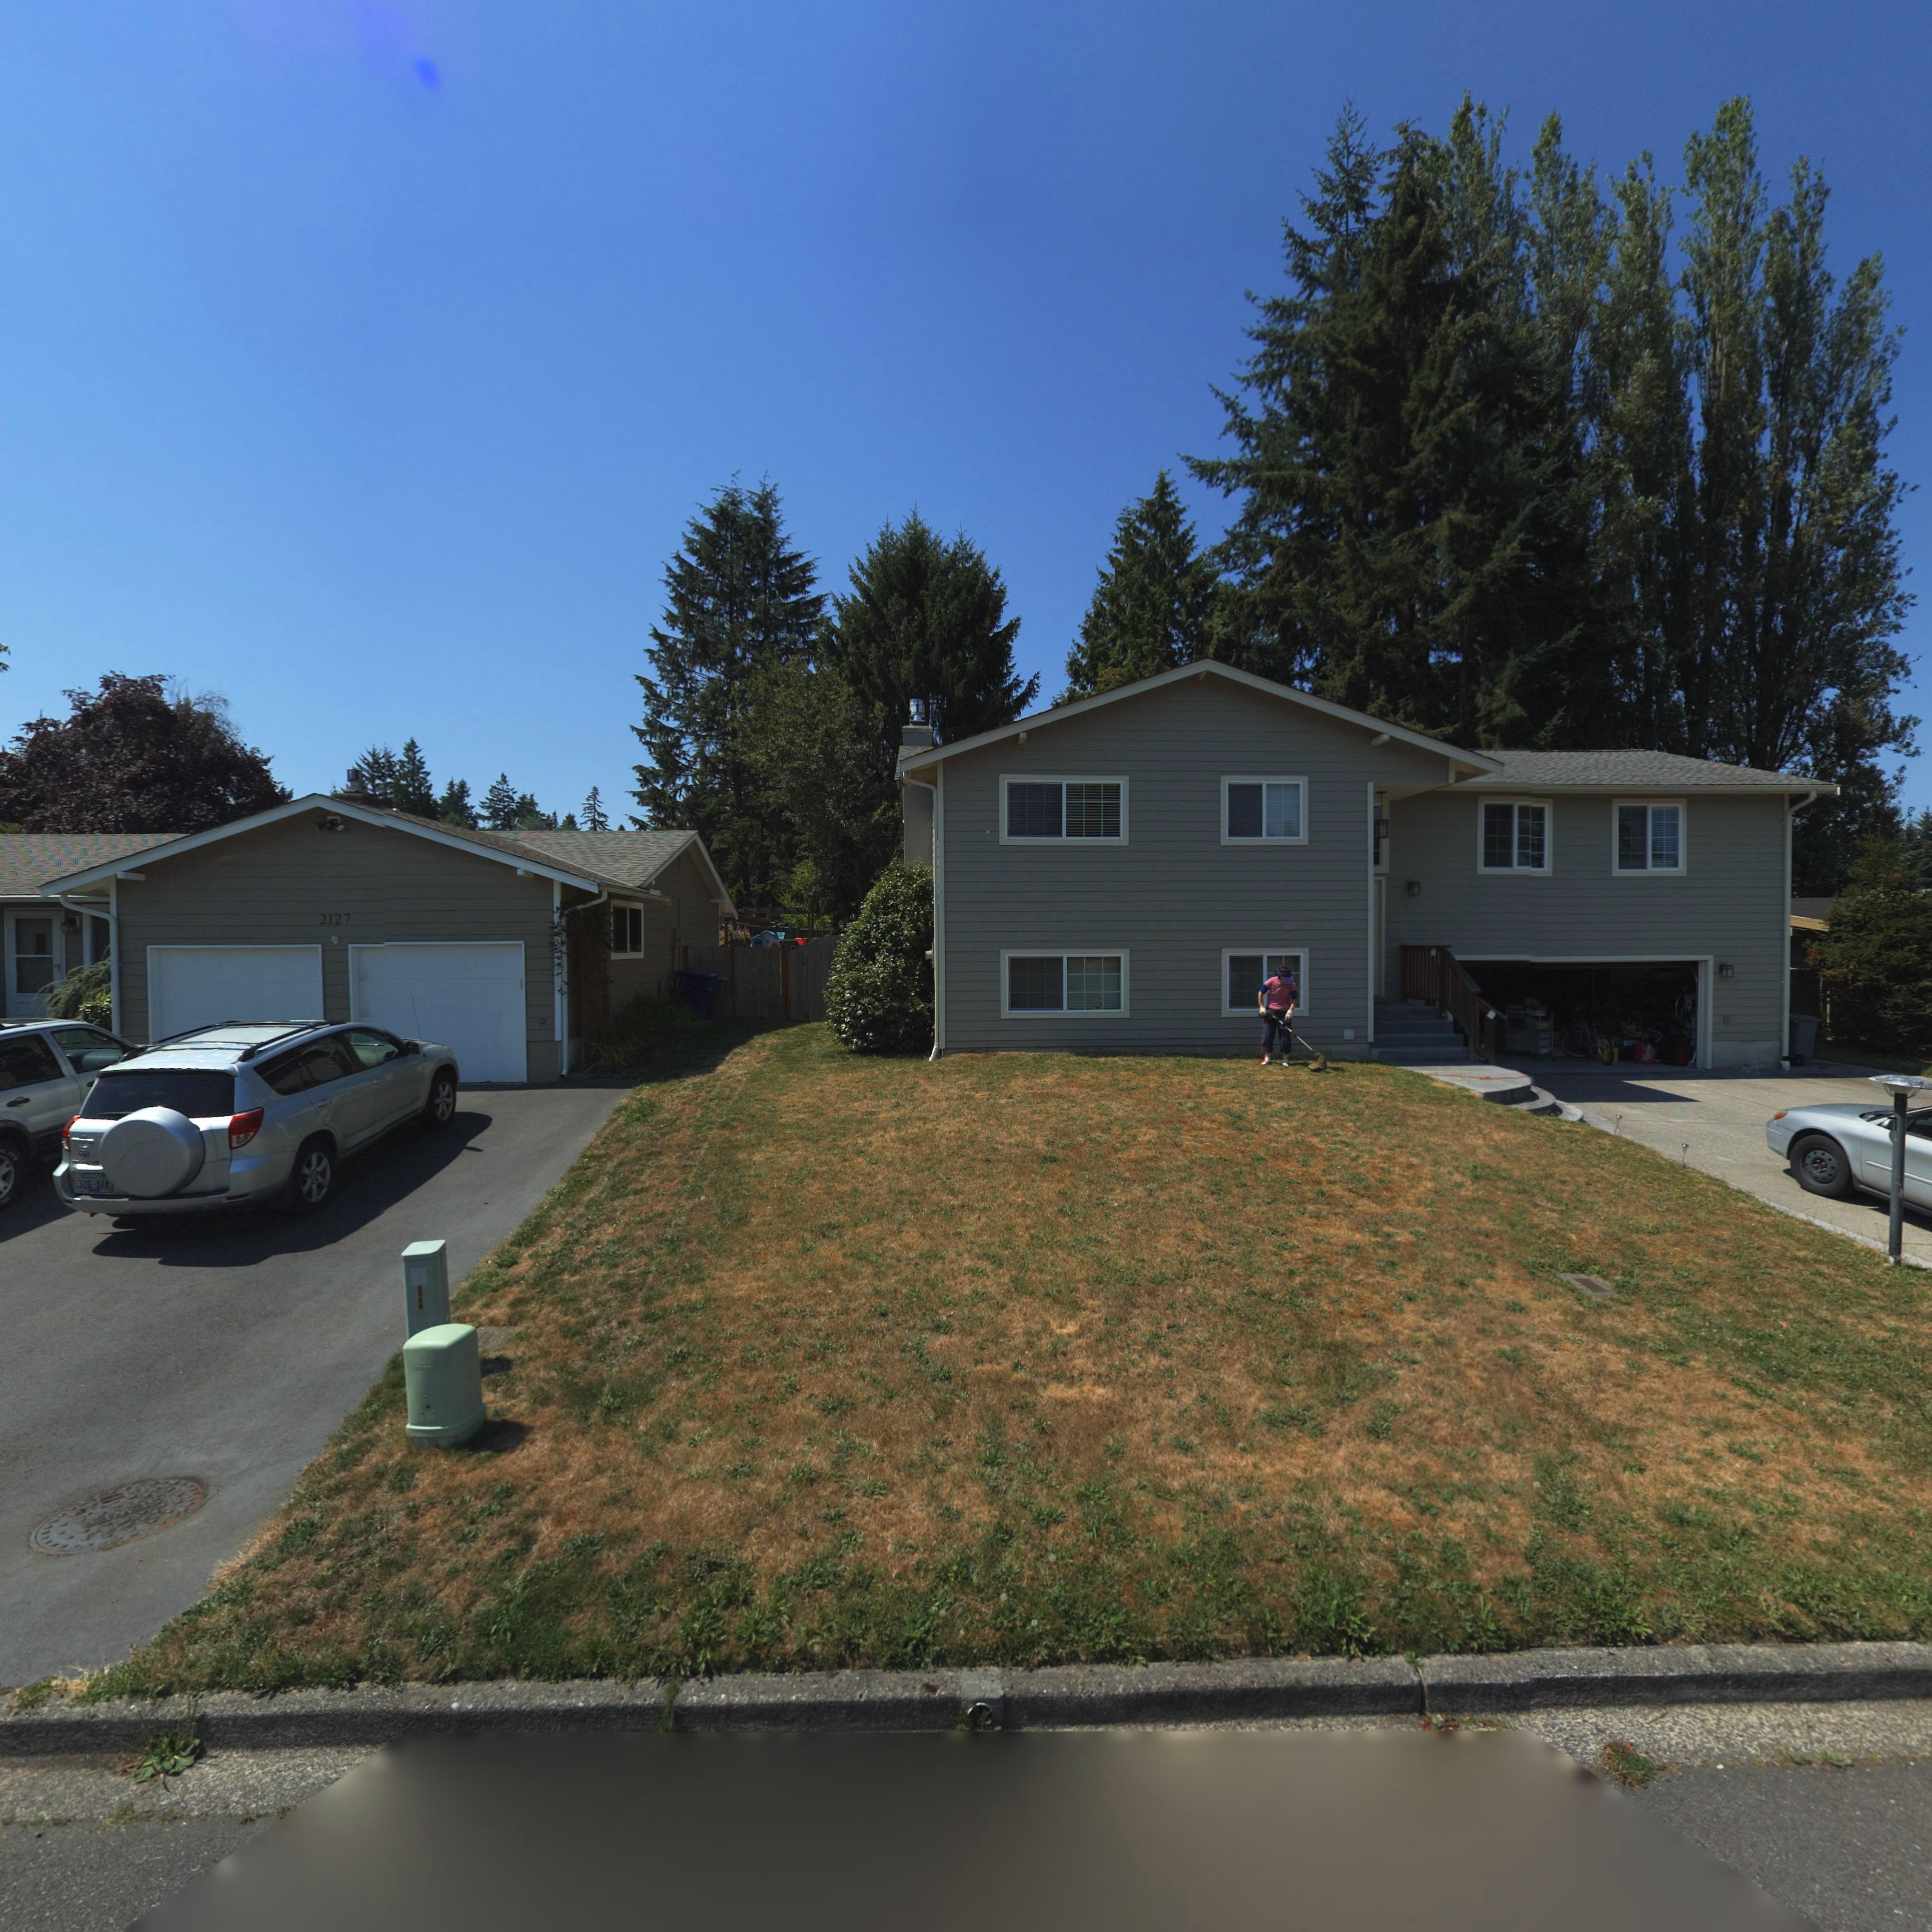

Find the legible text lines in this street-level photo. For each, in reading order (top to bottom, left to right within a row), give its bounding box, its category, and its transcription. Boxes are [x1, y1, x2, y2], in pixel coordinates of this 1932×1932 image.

[320, 913, 350, 925] StreetNumber: 2127